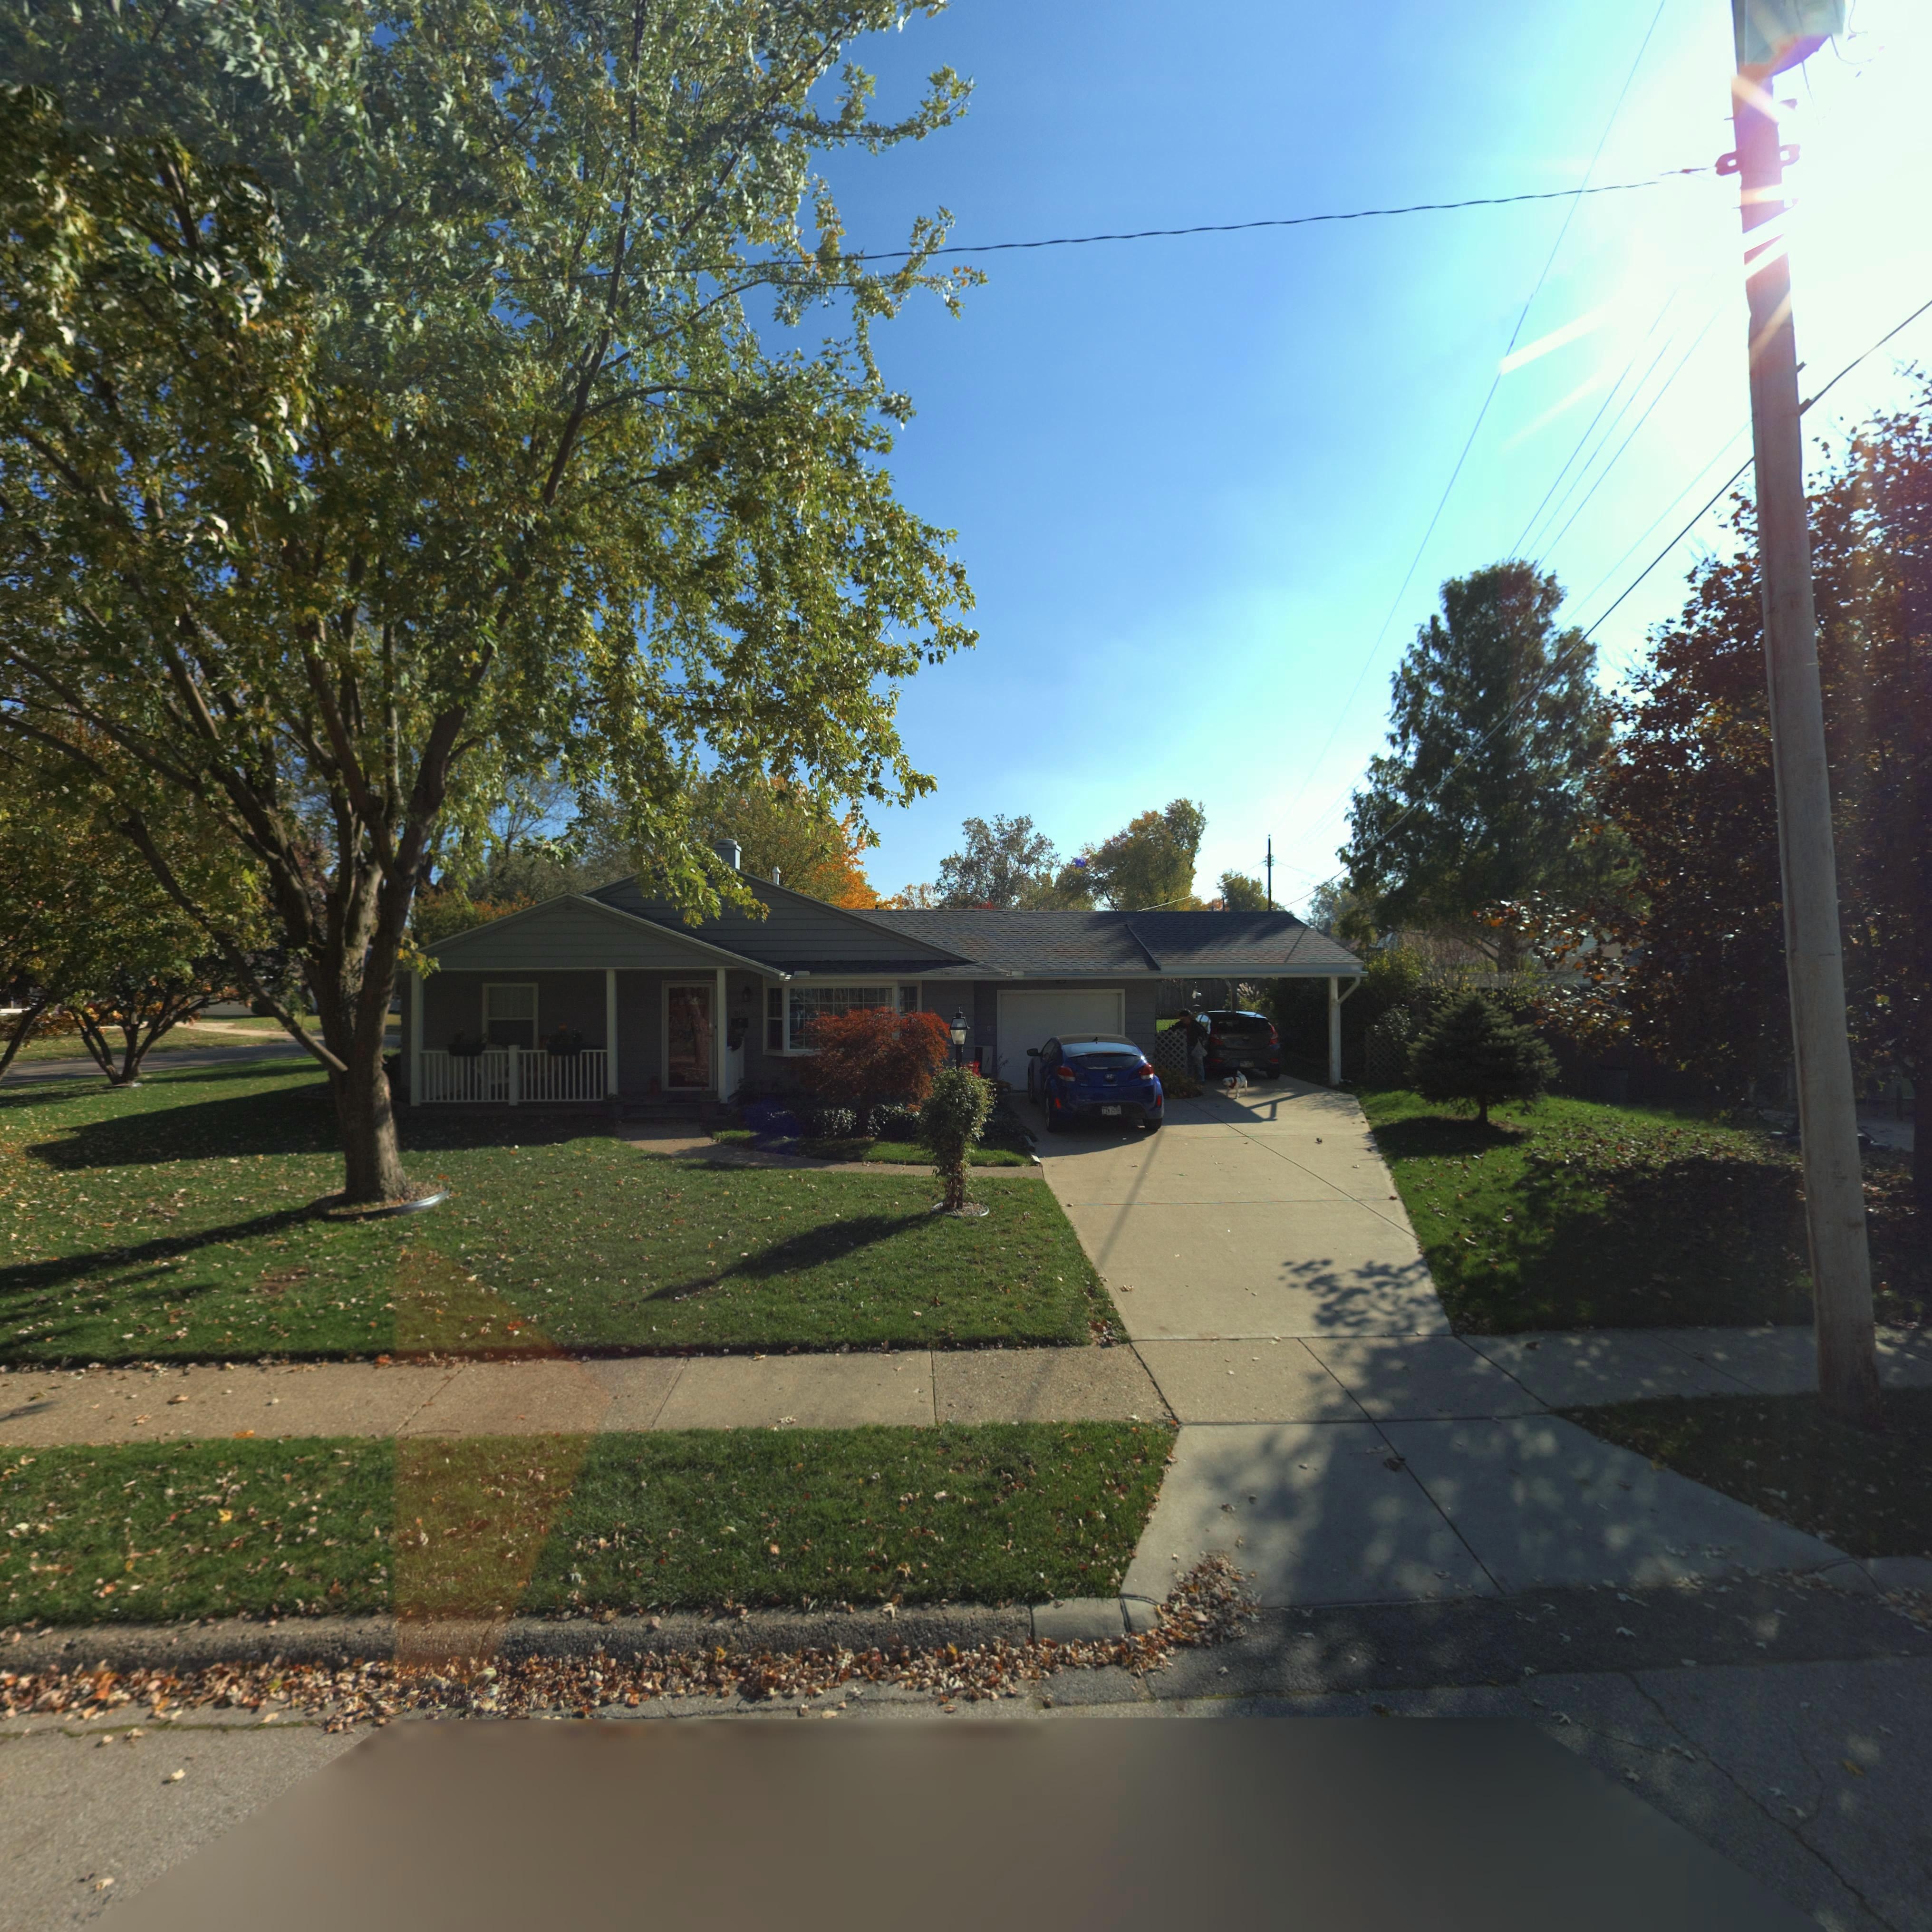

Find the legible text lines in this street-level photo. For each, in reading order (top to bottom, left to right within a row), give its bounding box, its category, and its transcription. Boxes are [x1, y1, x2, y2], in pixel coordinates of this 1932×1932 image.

[733, 1007, 745, 1018] StreetNumber: 810